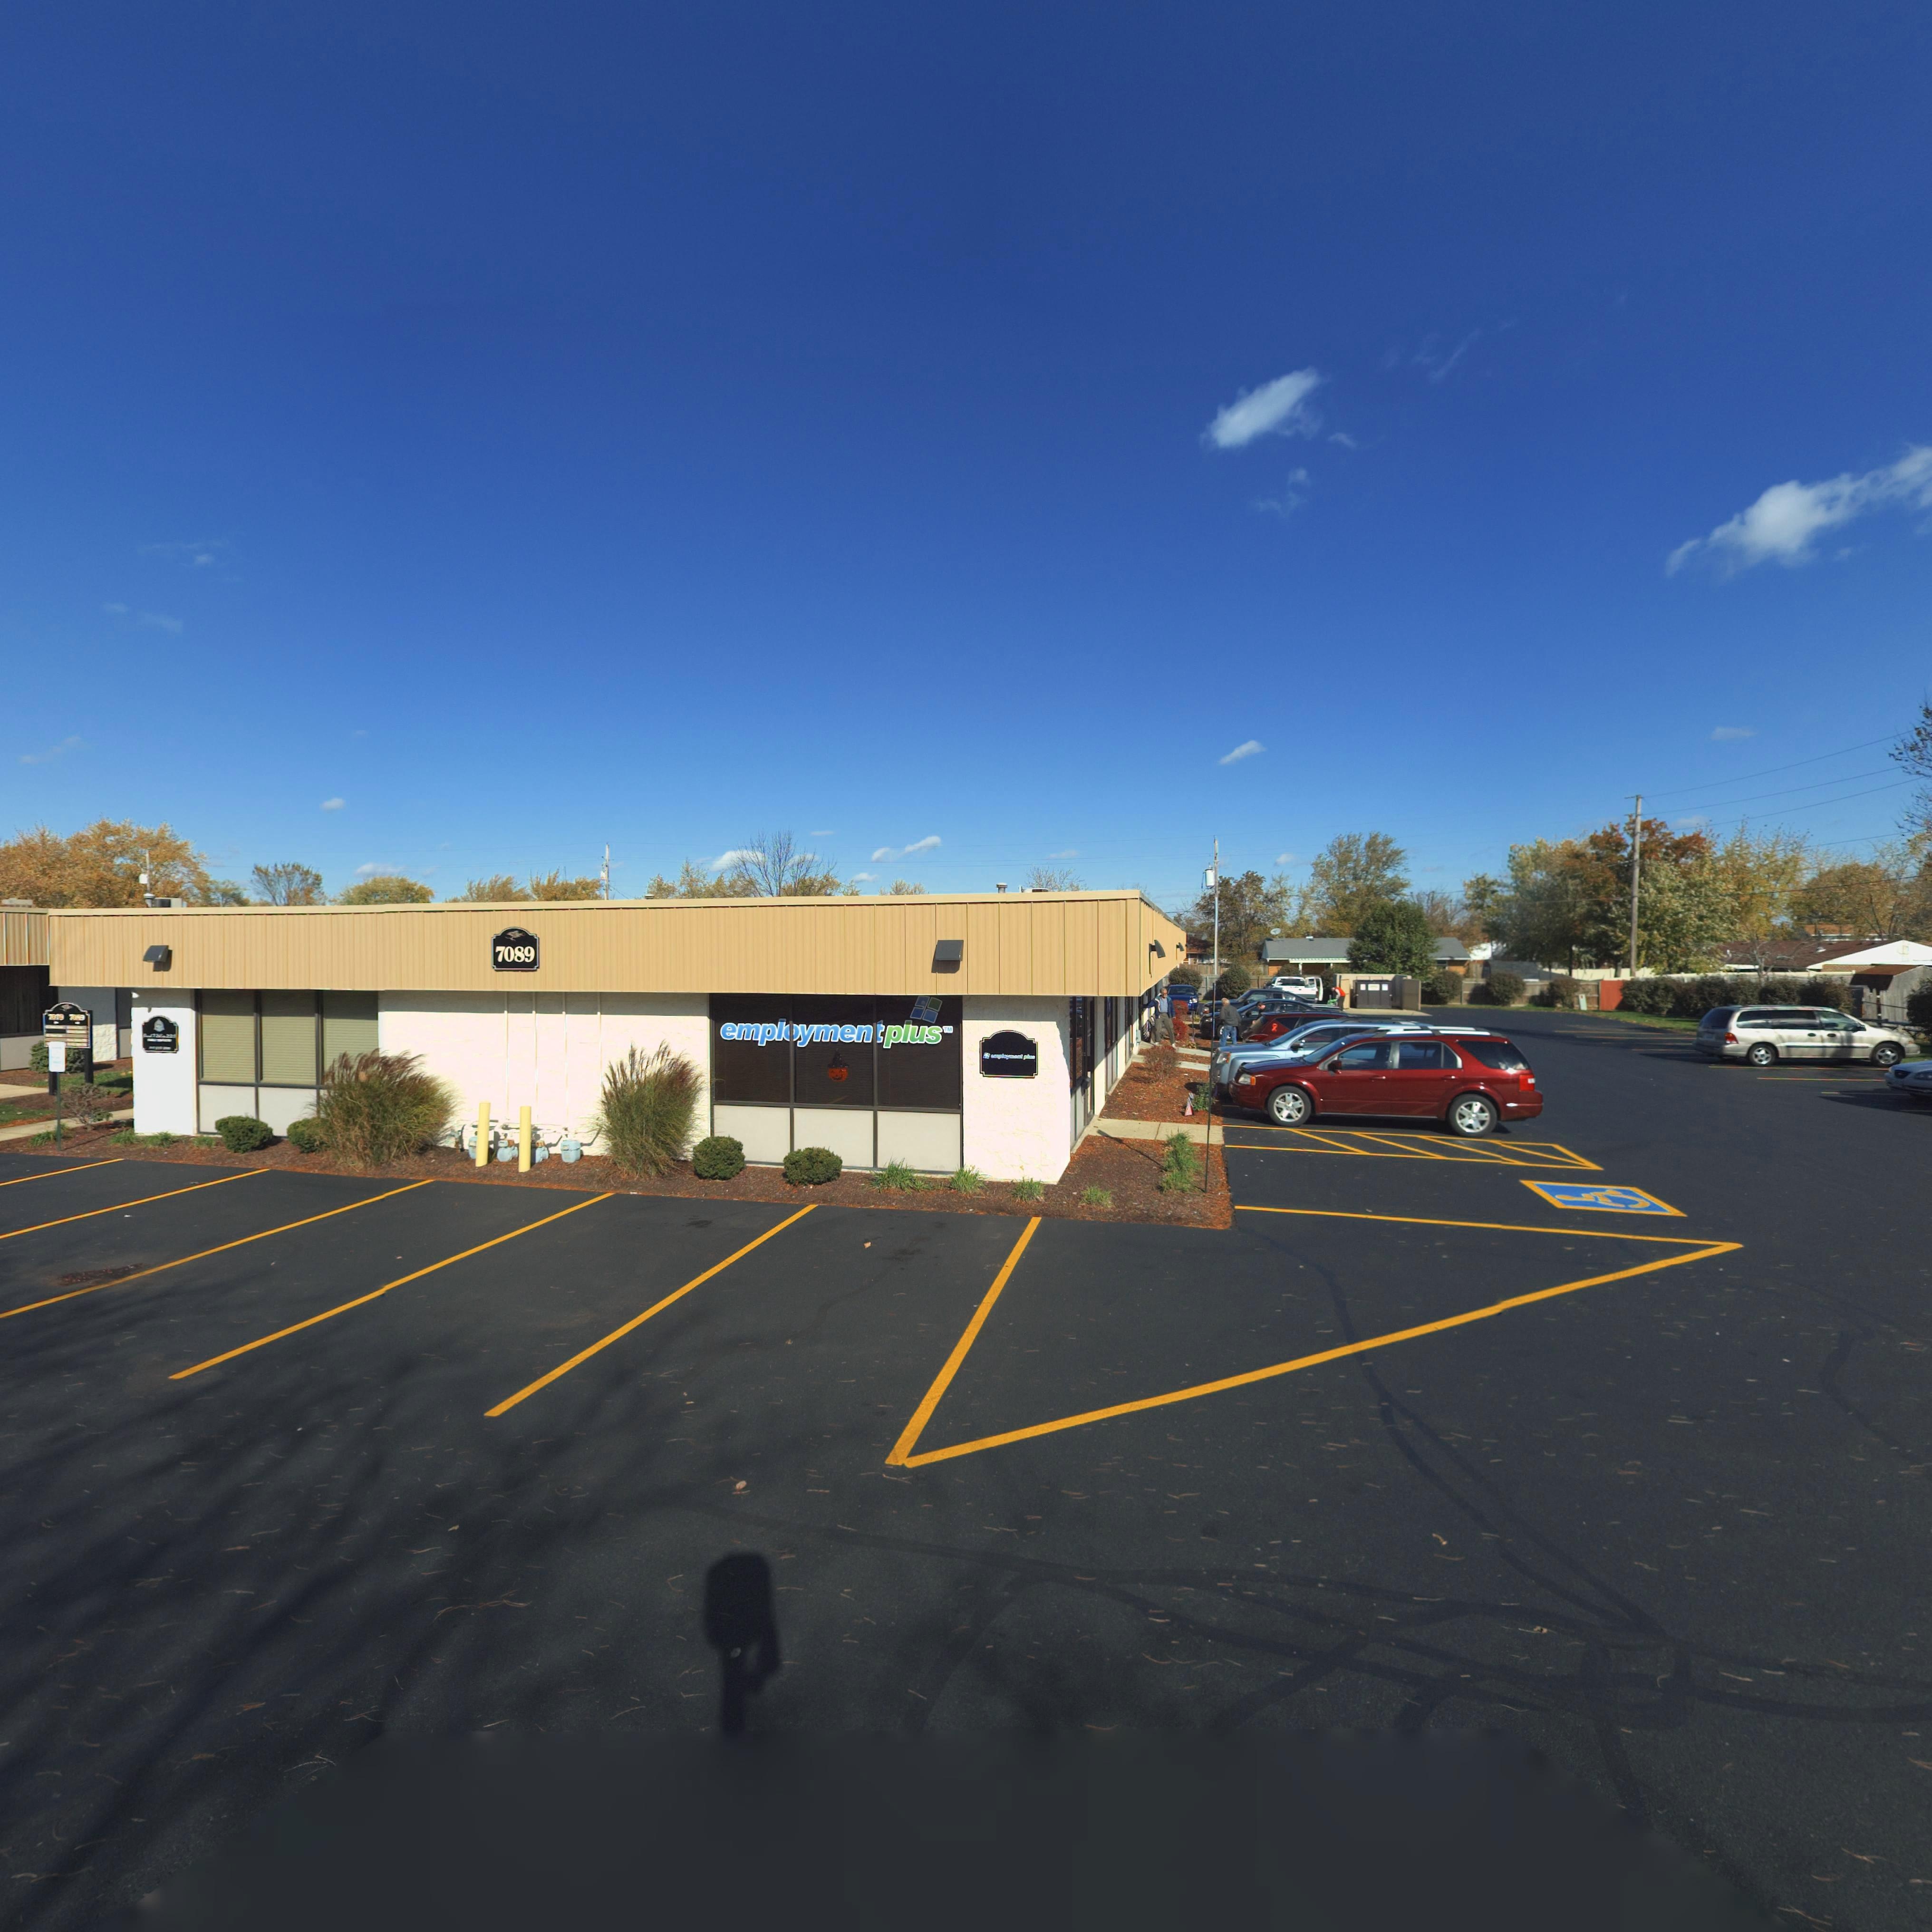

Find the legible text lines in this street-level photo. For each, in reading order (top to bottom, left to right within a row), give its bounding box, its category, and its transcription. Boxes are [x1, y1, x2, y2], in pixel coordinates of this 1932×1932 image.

[494, 945, 537, 964] StreetNumber: 7089